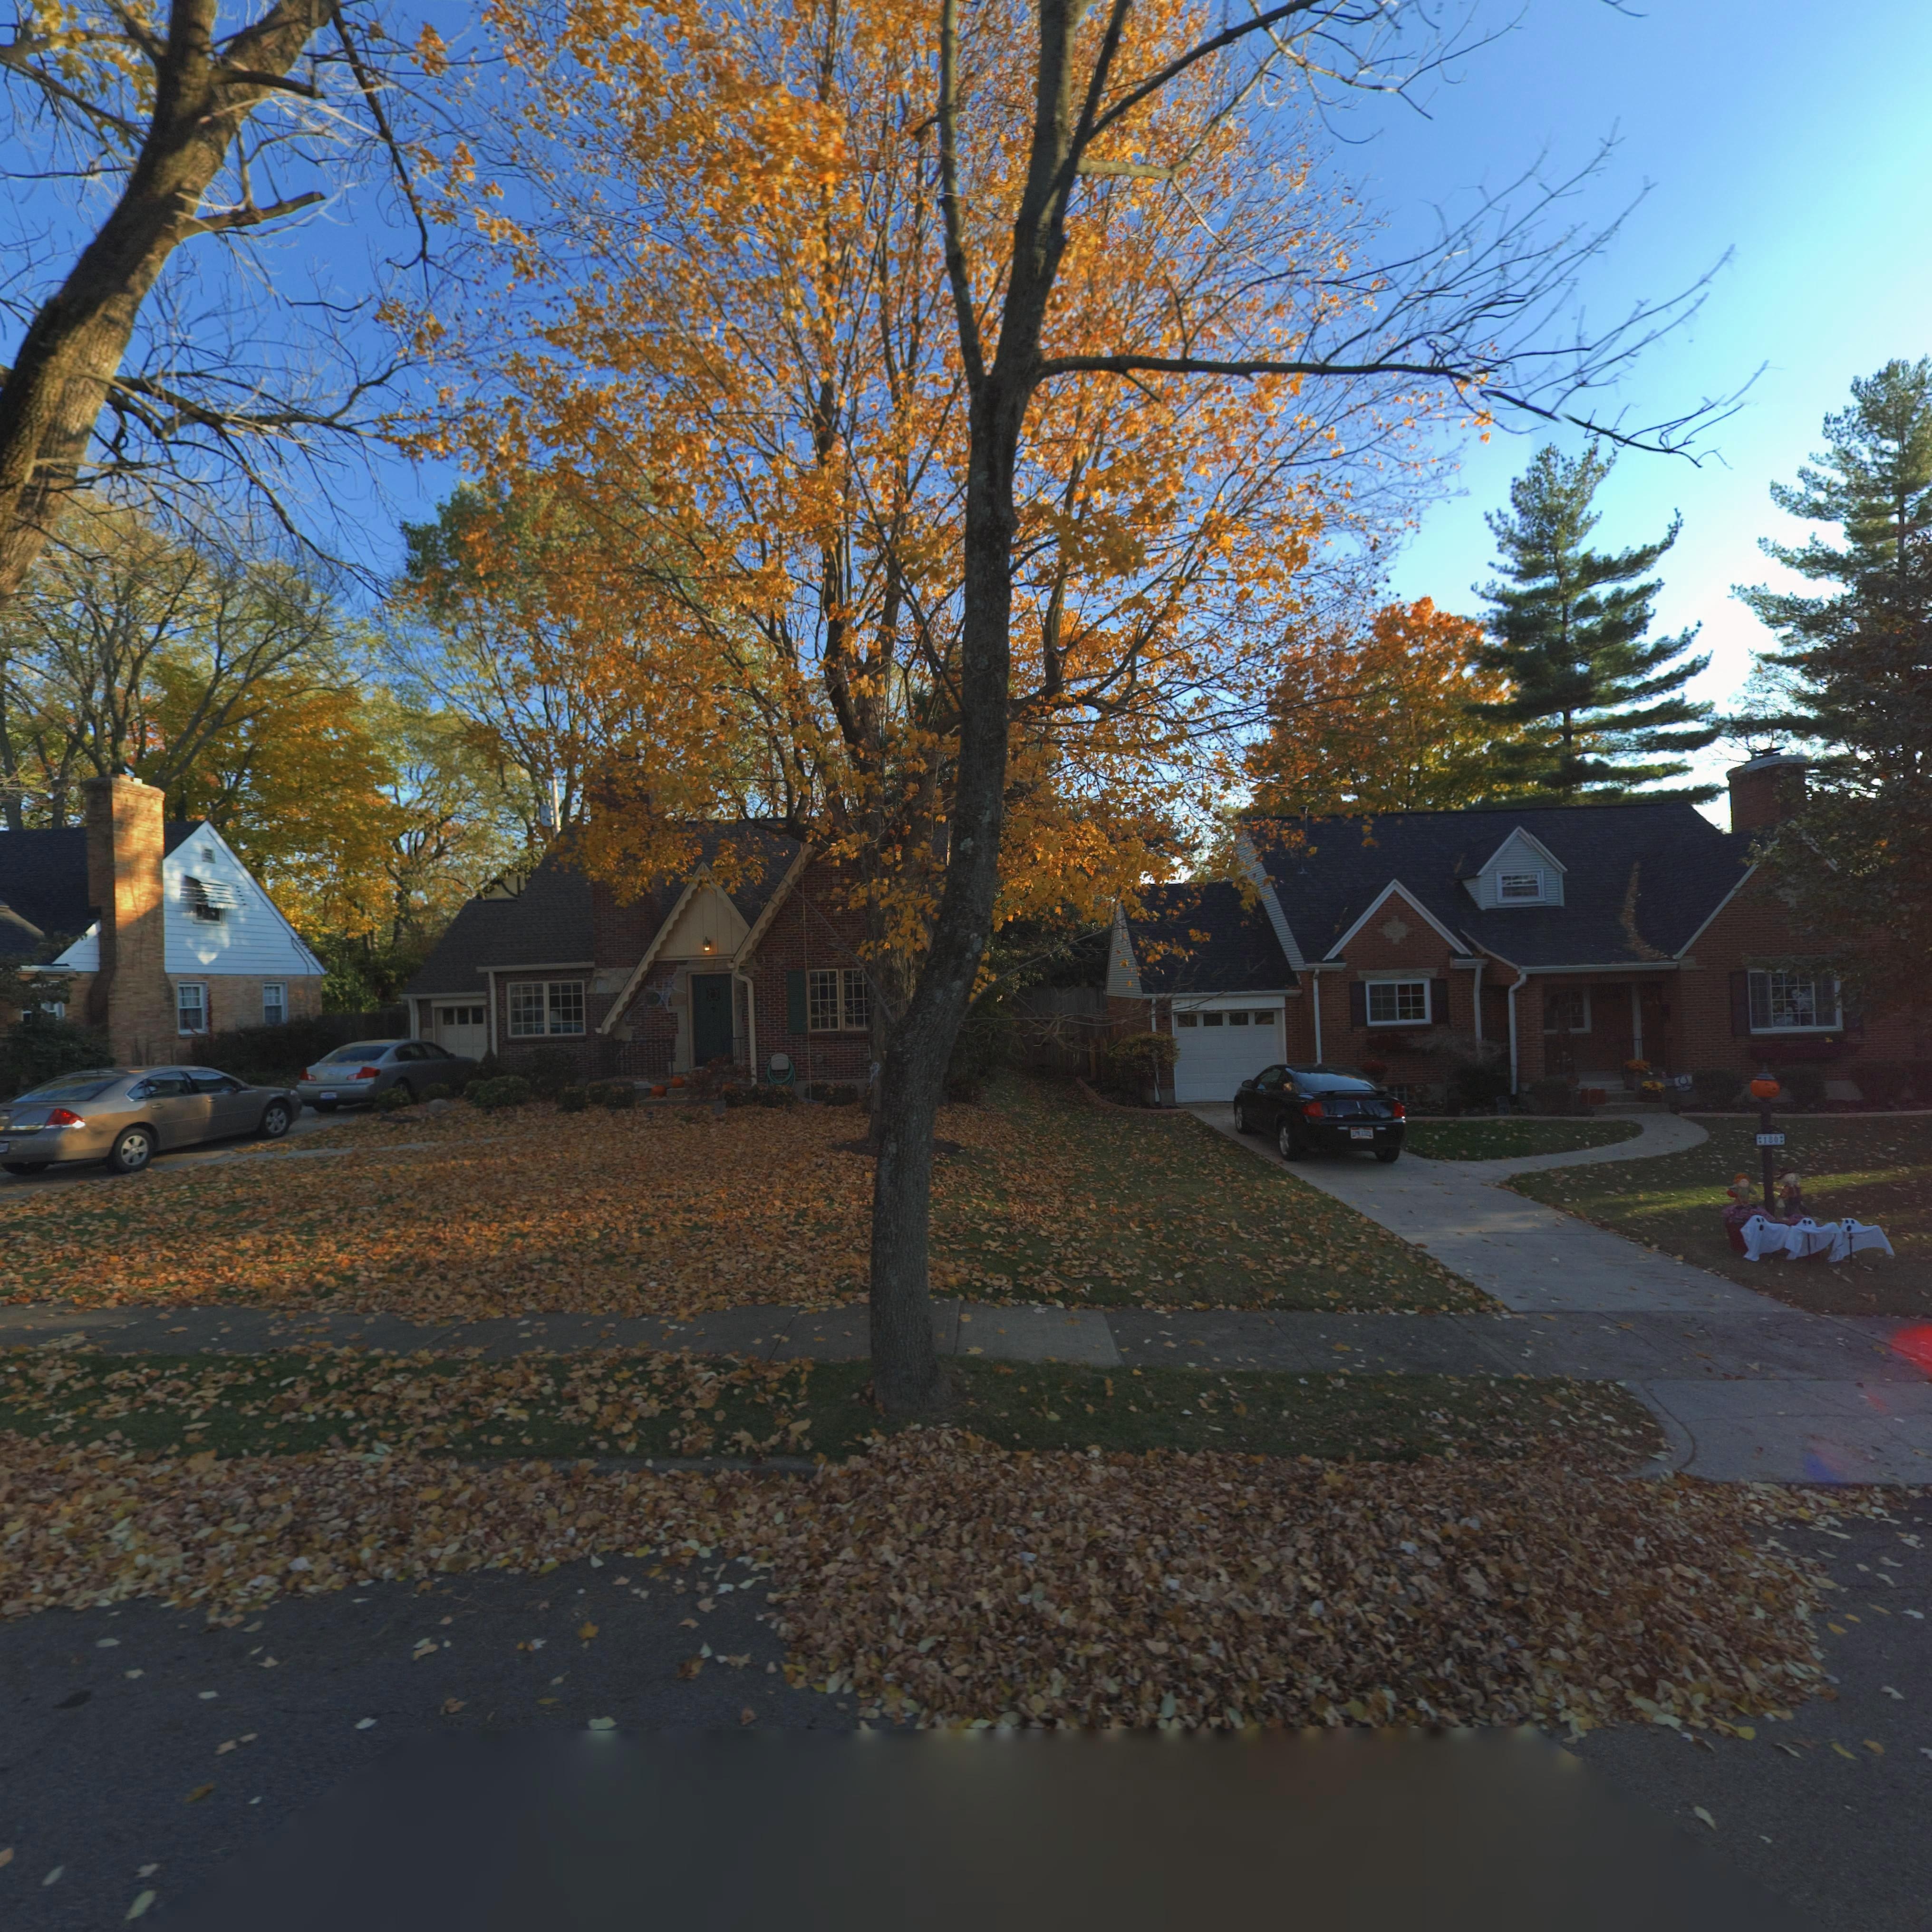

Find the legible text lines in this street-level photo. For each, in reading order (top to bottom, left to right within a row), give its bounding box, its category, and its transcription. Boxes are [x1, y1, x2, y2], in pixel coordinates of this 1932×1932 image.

[1763, 1135, 1779, 1144] StreetNumber: 180